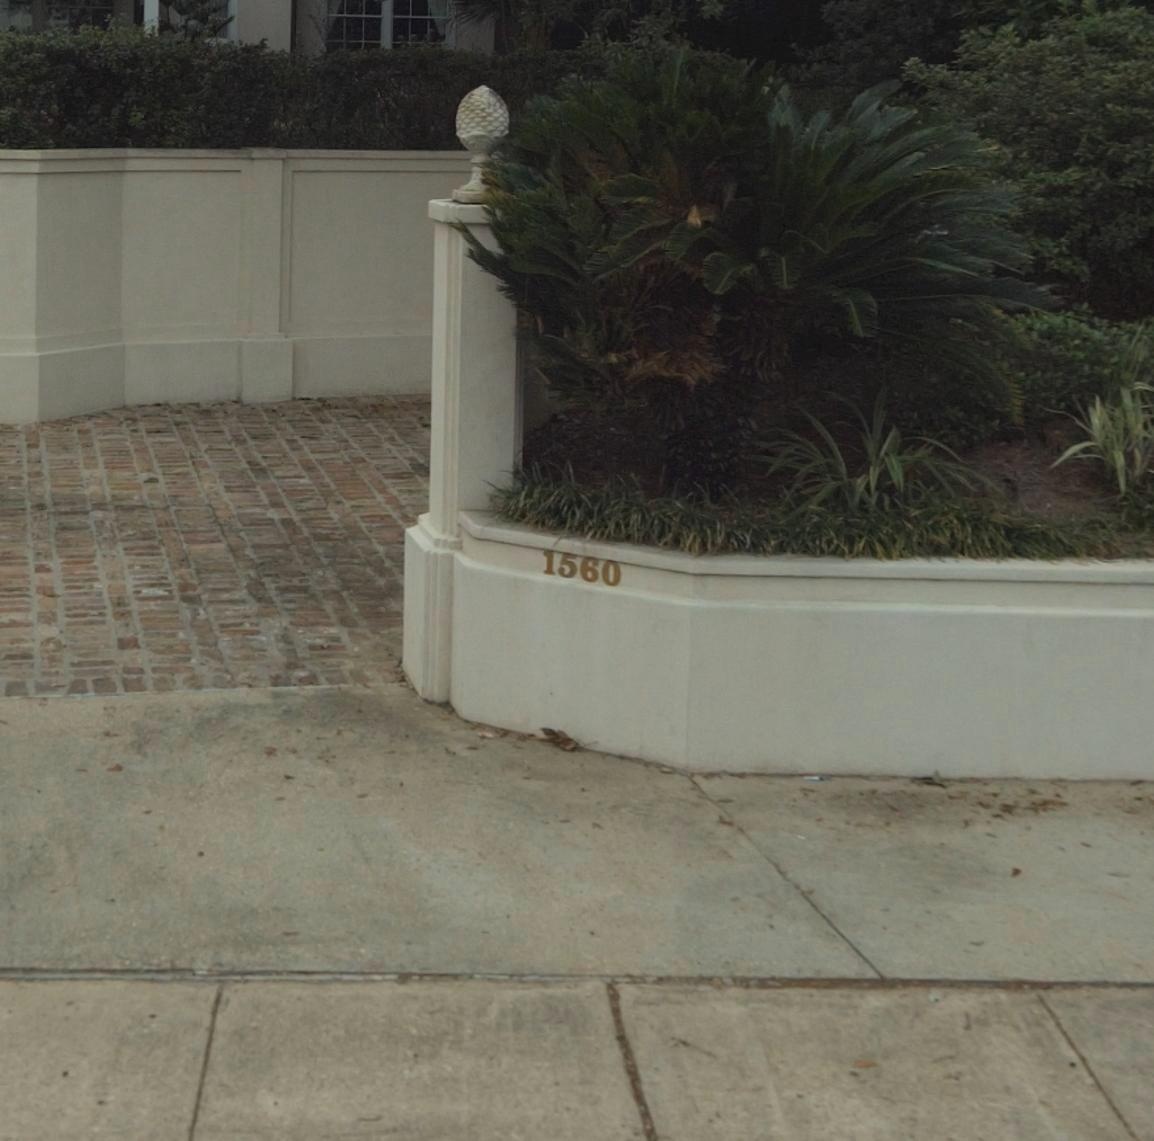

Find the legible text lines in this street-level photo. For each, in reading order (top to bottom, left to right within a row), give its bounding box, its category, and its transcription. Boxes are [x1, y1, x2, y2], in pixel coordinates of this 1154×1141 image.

[540, 549, 622, 589] StreetNumber: 1560